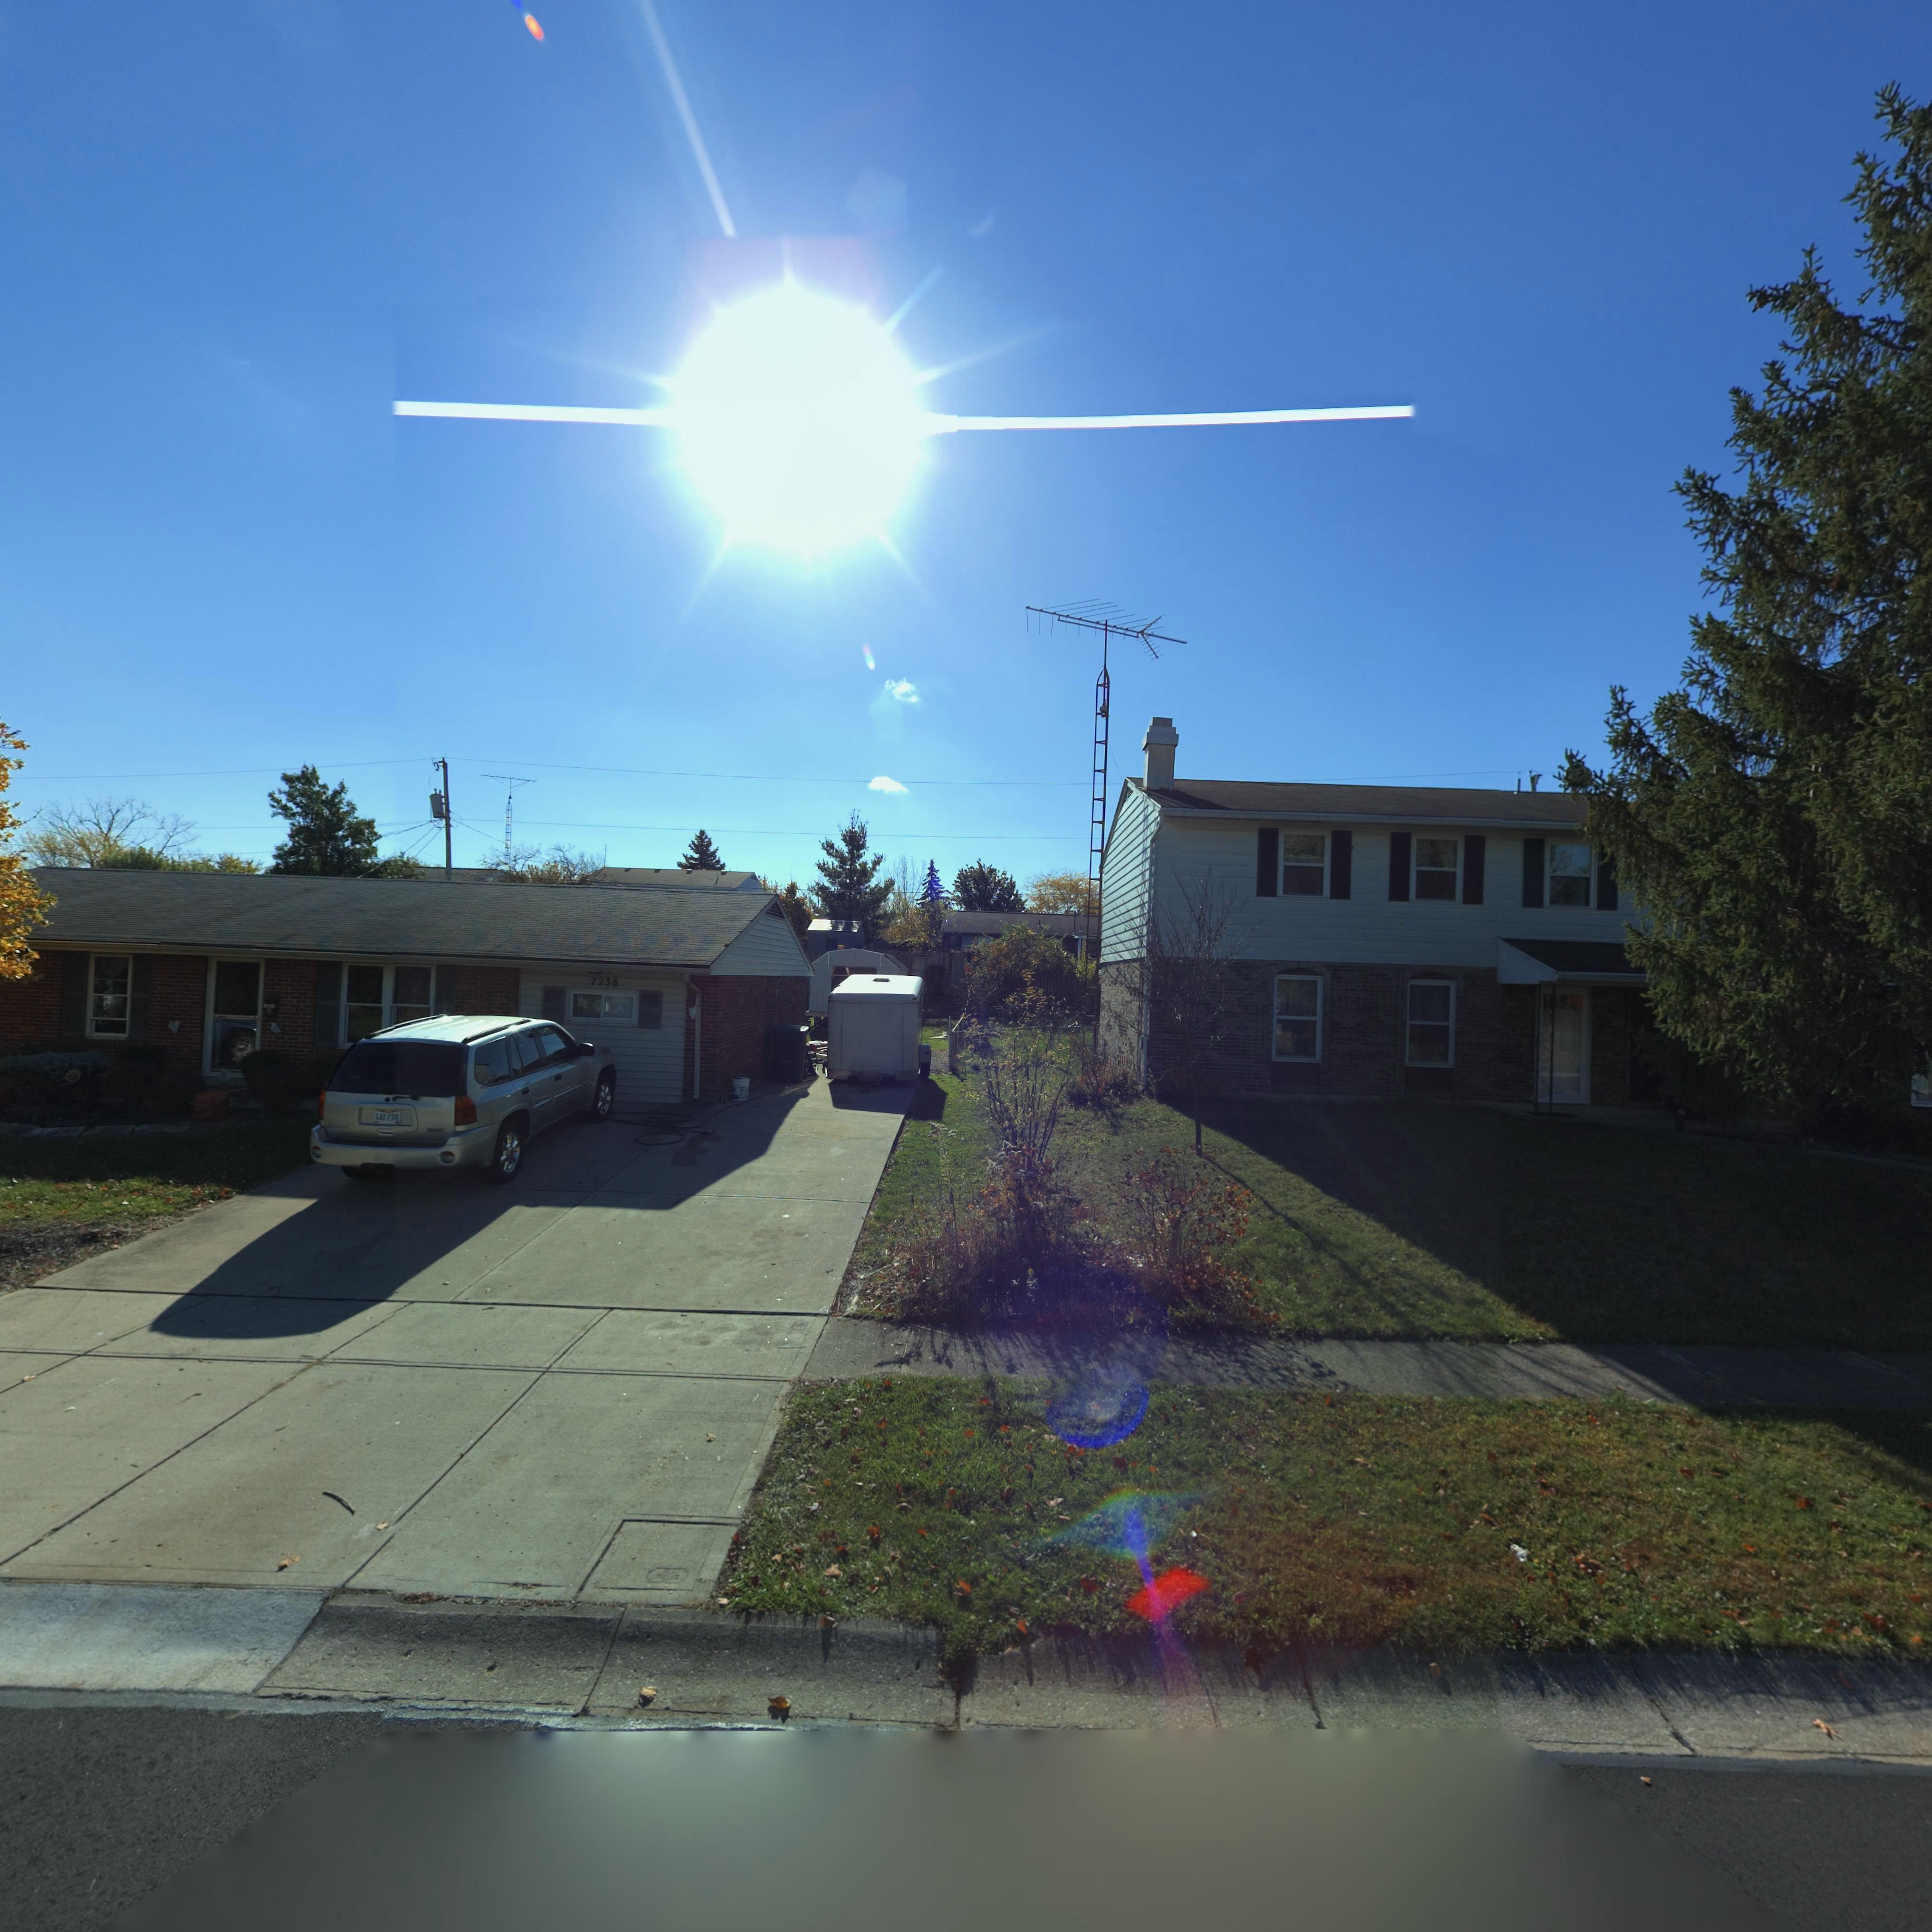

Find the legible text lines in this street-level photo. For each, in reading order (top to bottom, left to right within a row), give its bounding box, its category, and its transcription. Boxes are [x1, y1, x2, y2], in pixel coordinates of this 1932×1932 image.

[590, 976, 620, 988] StreetNumber: 7238